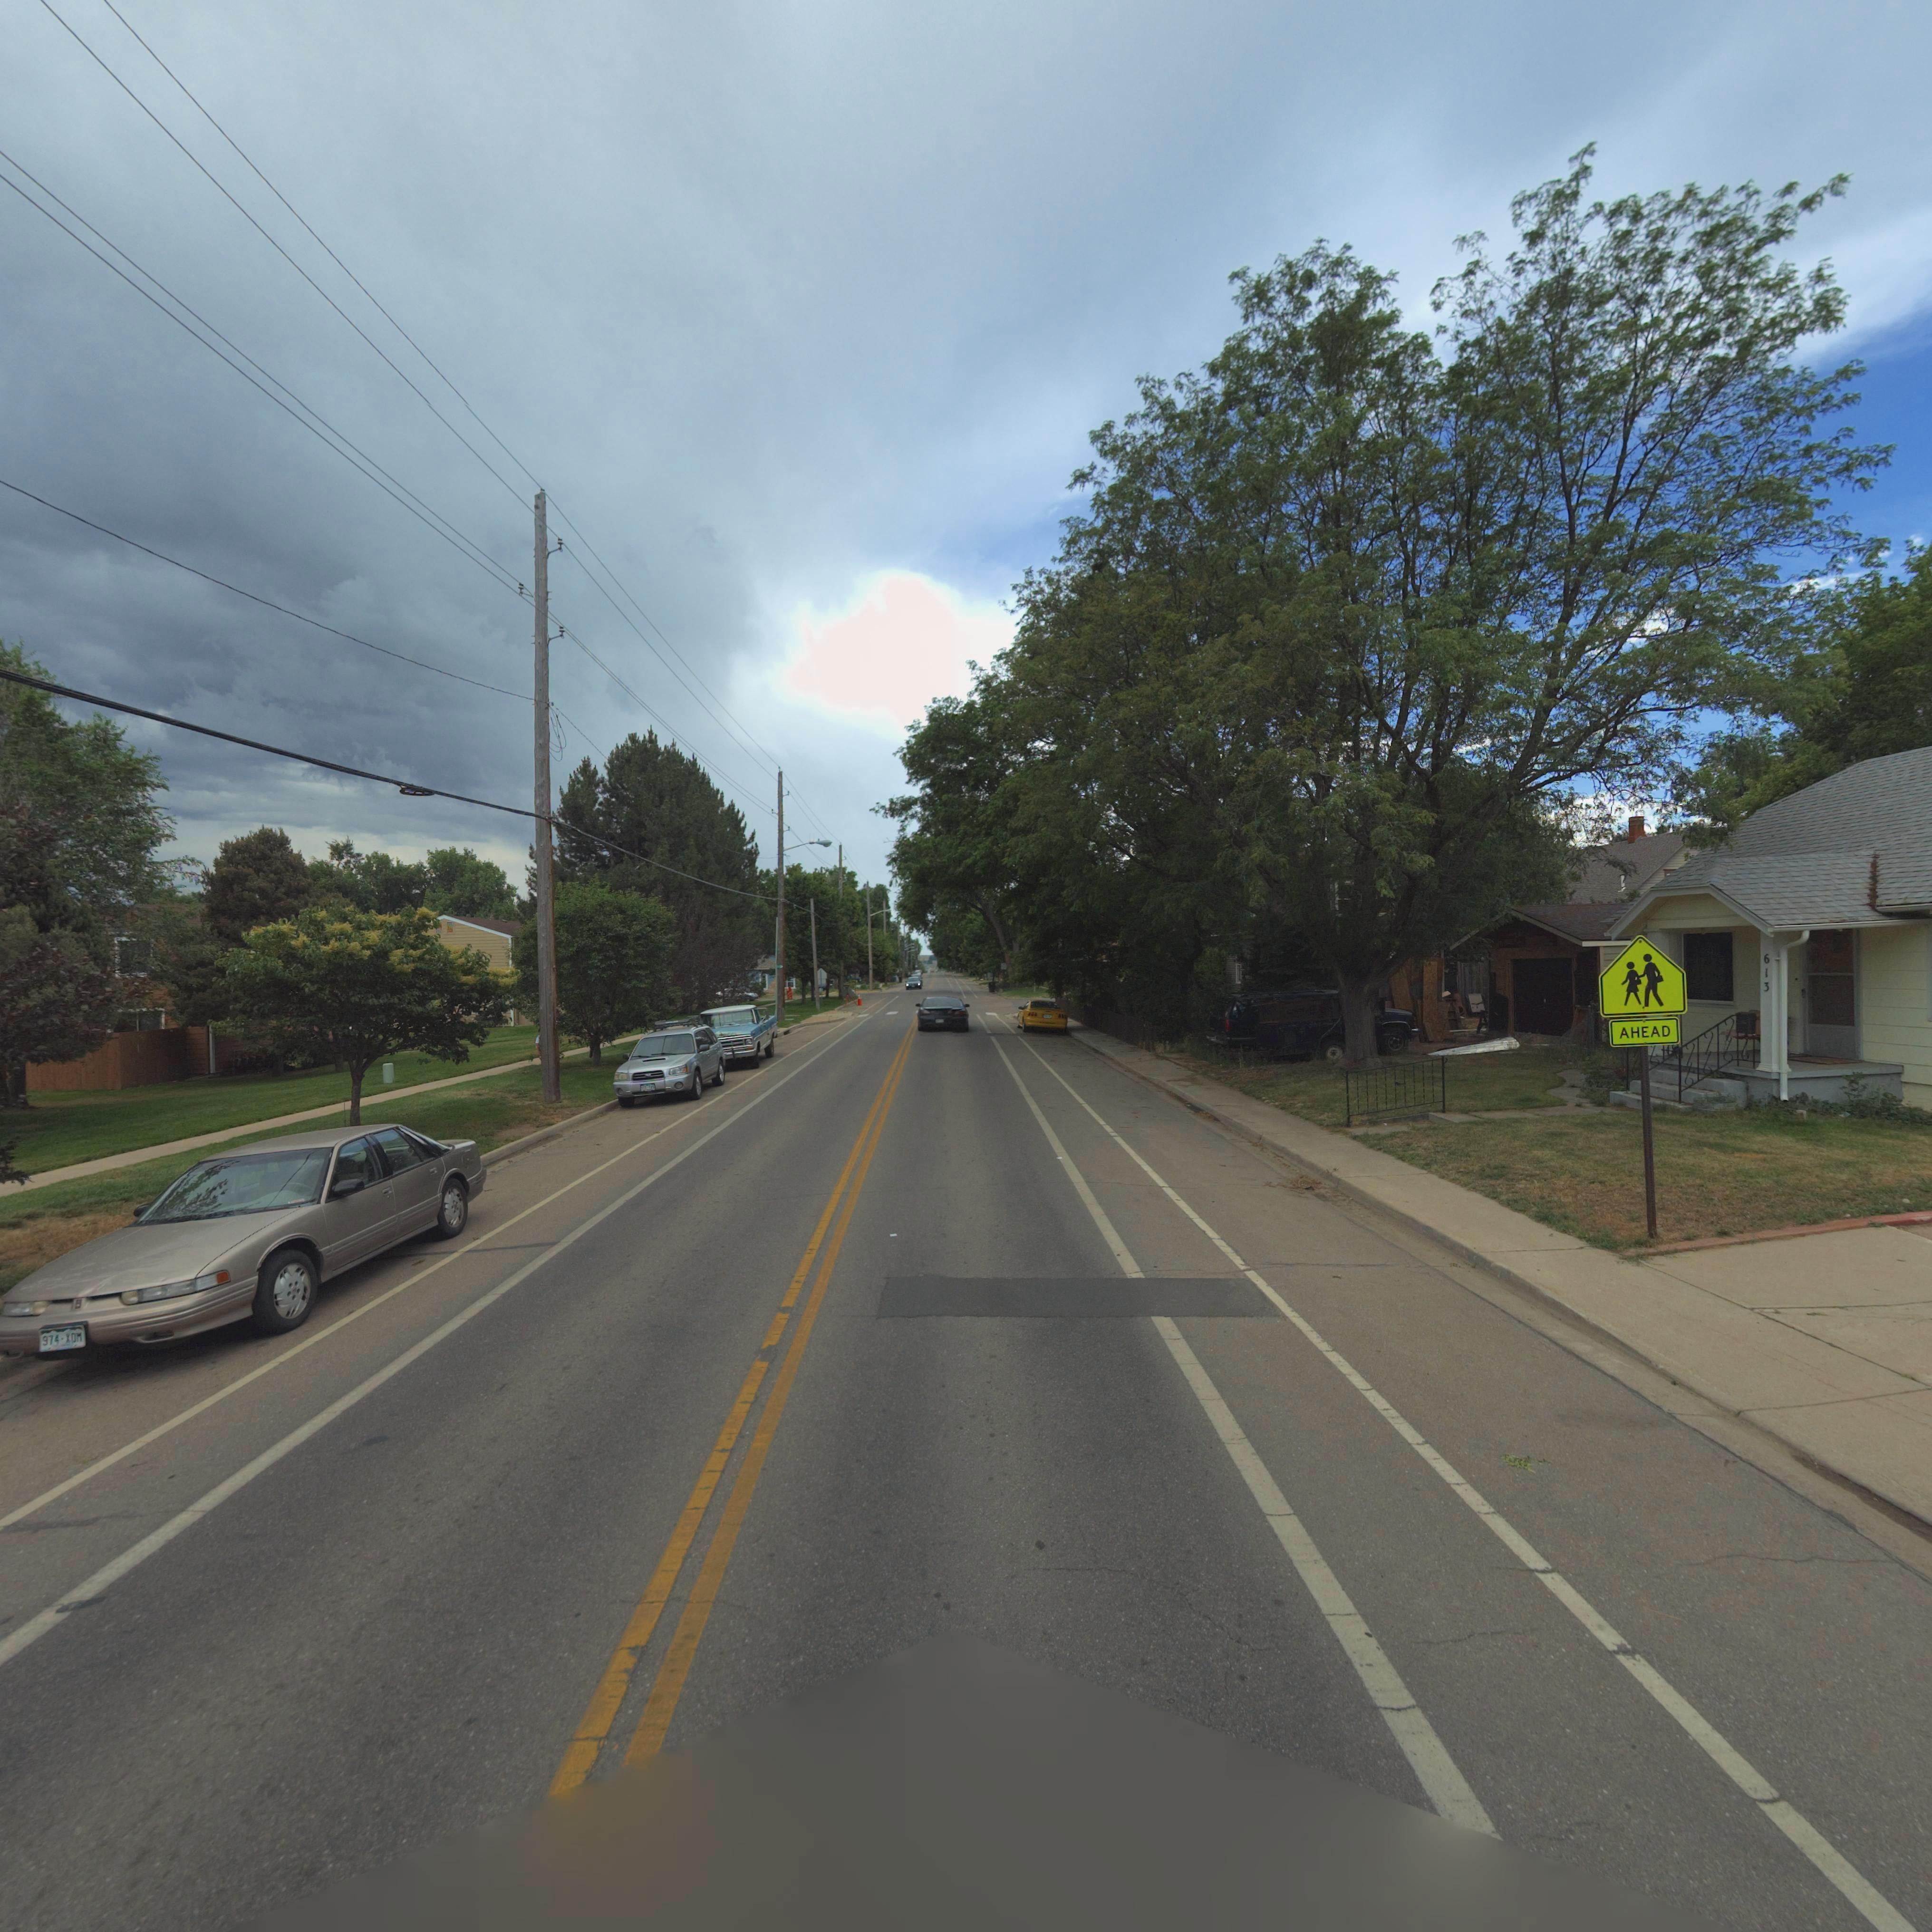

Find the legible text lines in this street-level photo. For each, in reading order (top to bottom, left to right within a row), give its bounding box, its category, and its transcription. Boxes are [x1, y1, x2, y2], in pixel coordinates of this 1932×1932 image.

[1763, 953, 1770, 993] StreetNumber: 613